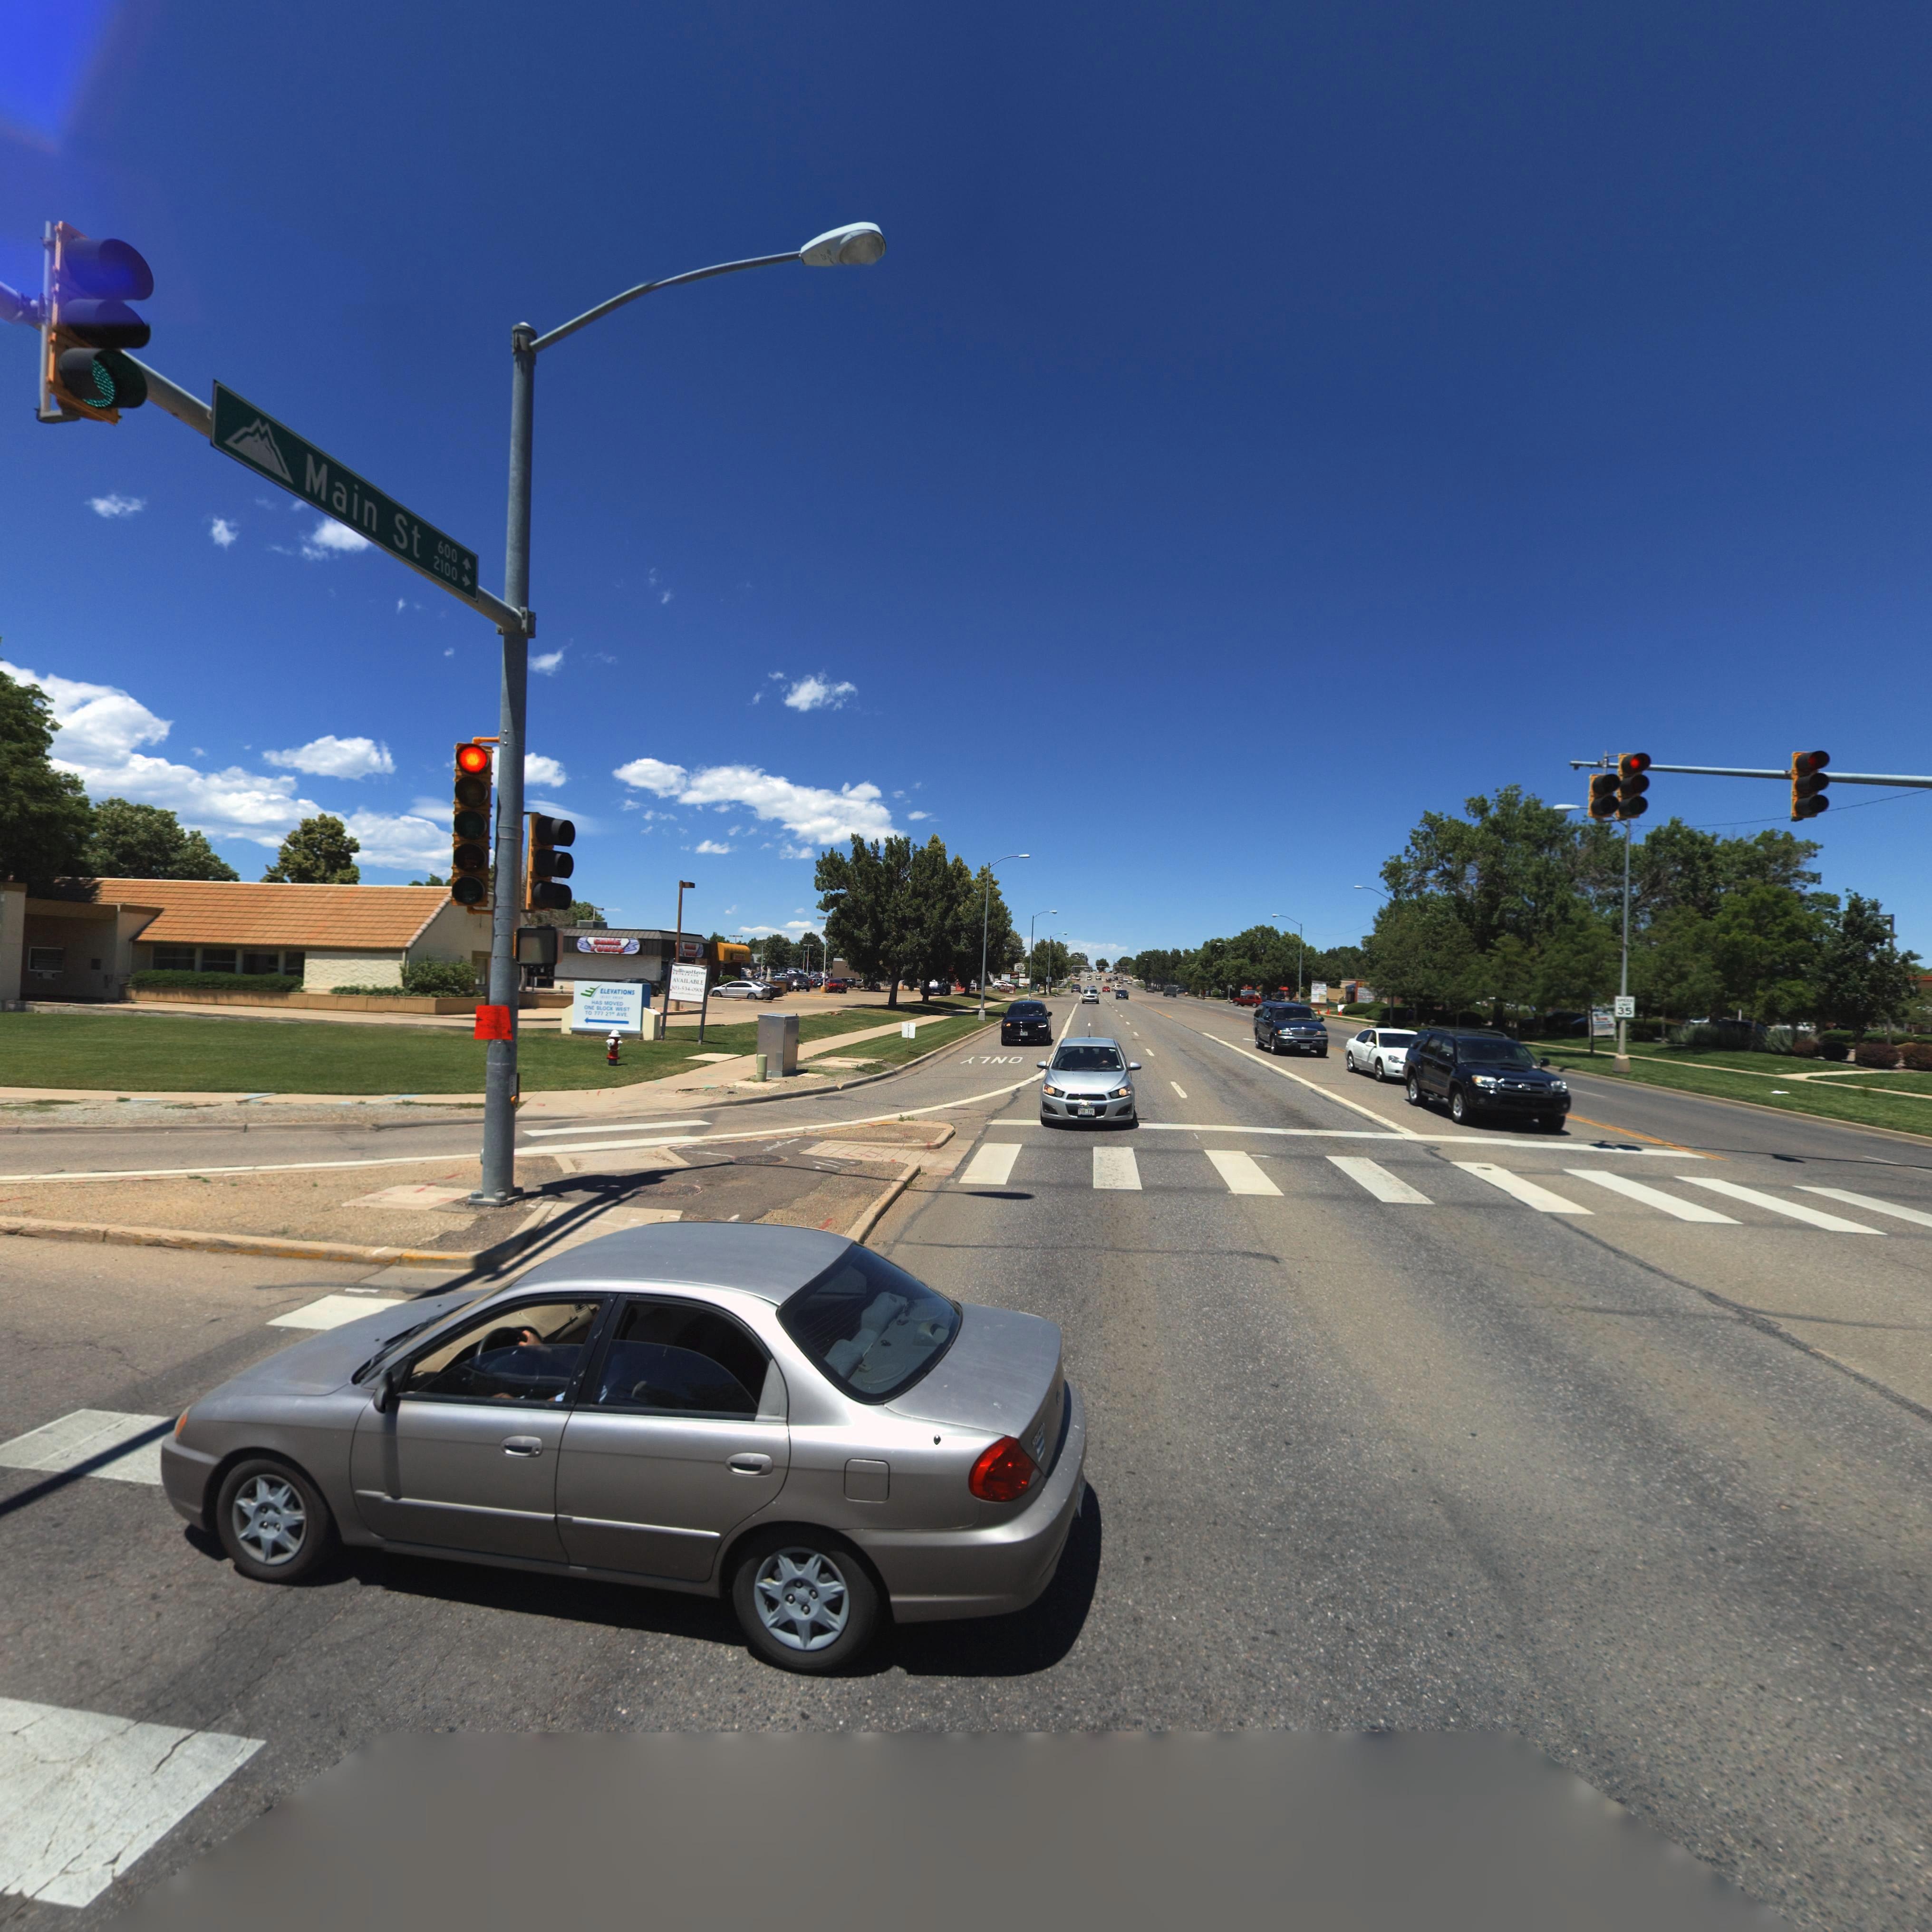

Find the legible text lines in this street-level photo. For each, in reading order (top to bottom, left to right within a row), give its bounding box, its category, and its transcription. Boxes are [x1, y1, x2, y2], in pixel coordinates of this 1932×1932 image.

[304, 452, 422, 560] StreetName: Main St
[436, 540, 458, 563] StreetNumberRange: 600
[433, 555, 471, 587] StreetNumberRange: 2100->
[593, 937, 621, 945] BusinessName: GAME
[590, 944, 625, 952] BusinessName: FORCE
[684, 943, 696, 950] BusinessName: G***
[682, 950, 697, 956] BusinessName: F****